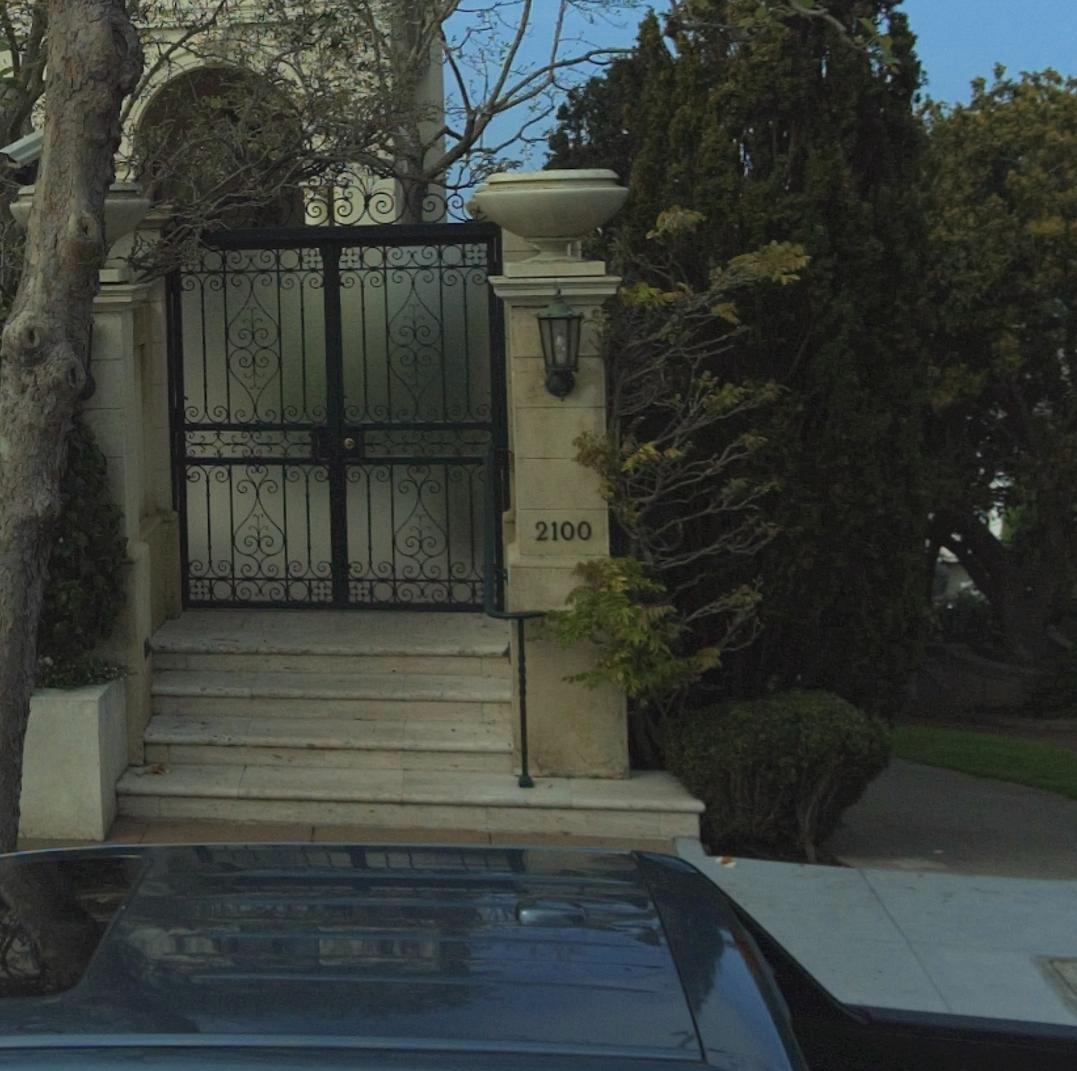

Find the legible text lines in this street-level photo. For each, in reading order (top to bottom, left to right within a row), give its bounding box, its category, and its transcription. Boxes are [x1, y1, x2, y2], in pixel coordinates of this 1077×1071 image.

[533, 519, 593, 544] StreetNumber: 2100